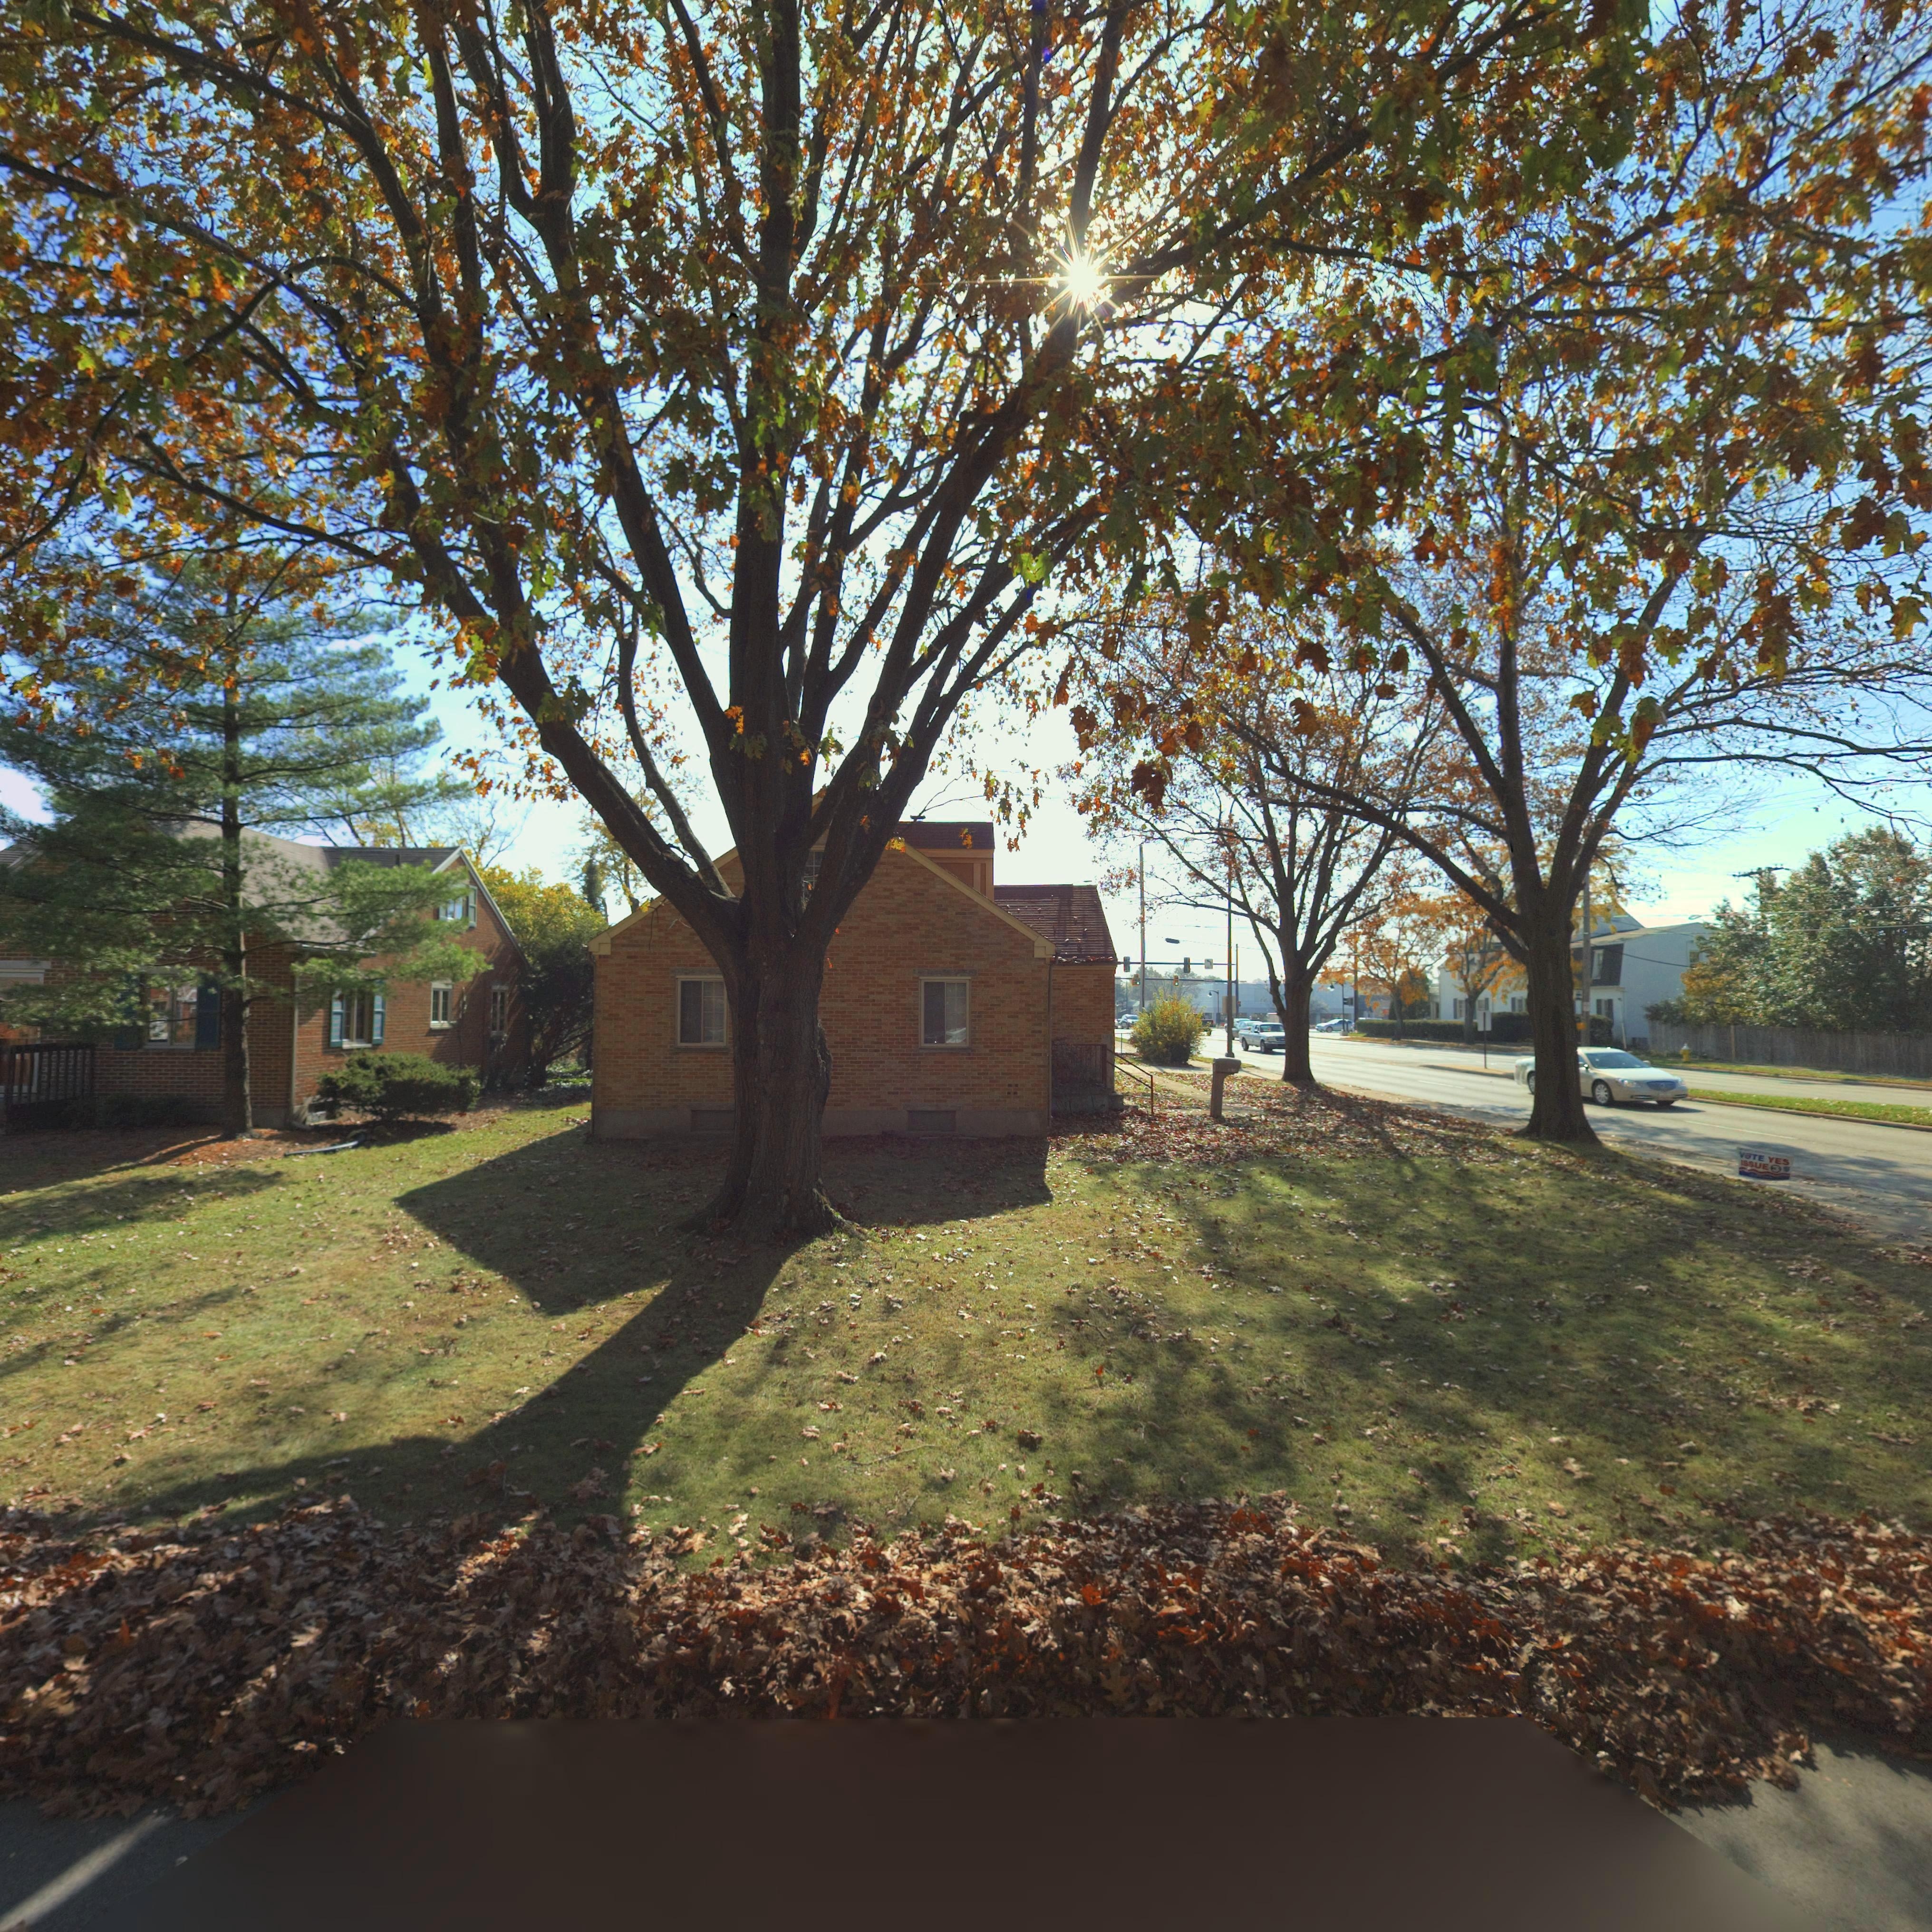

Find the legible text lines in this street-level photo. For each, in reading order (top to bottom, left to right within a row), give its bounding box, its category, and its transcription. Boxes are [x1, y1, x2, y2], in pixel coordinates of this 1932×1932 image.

[1739, 1151, 1790, 1166] None: V*TE YES
[1740, 1159, 1780, 1173] None: ISSUE 3